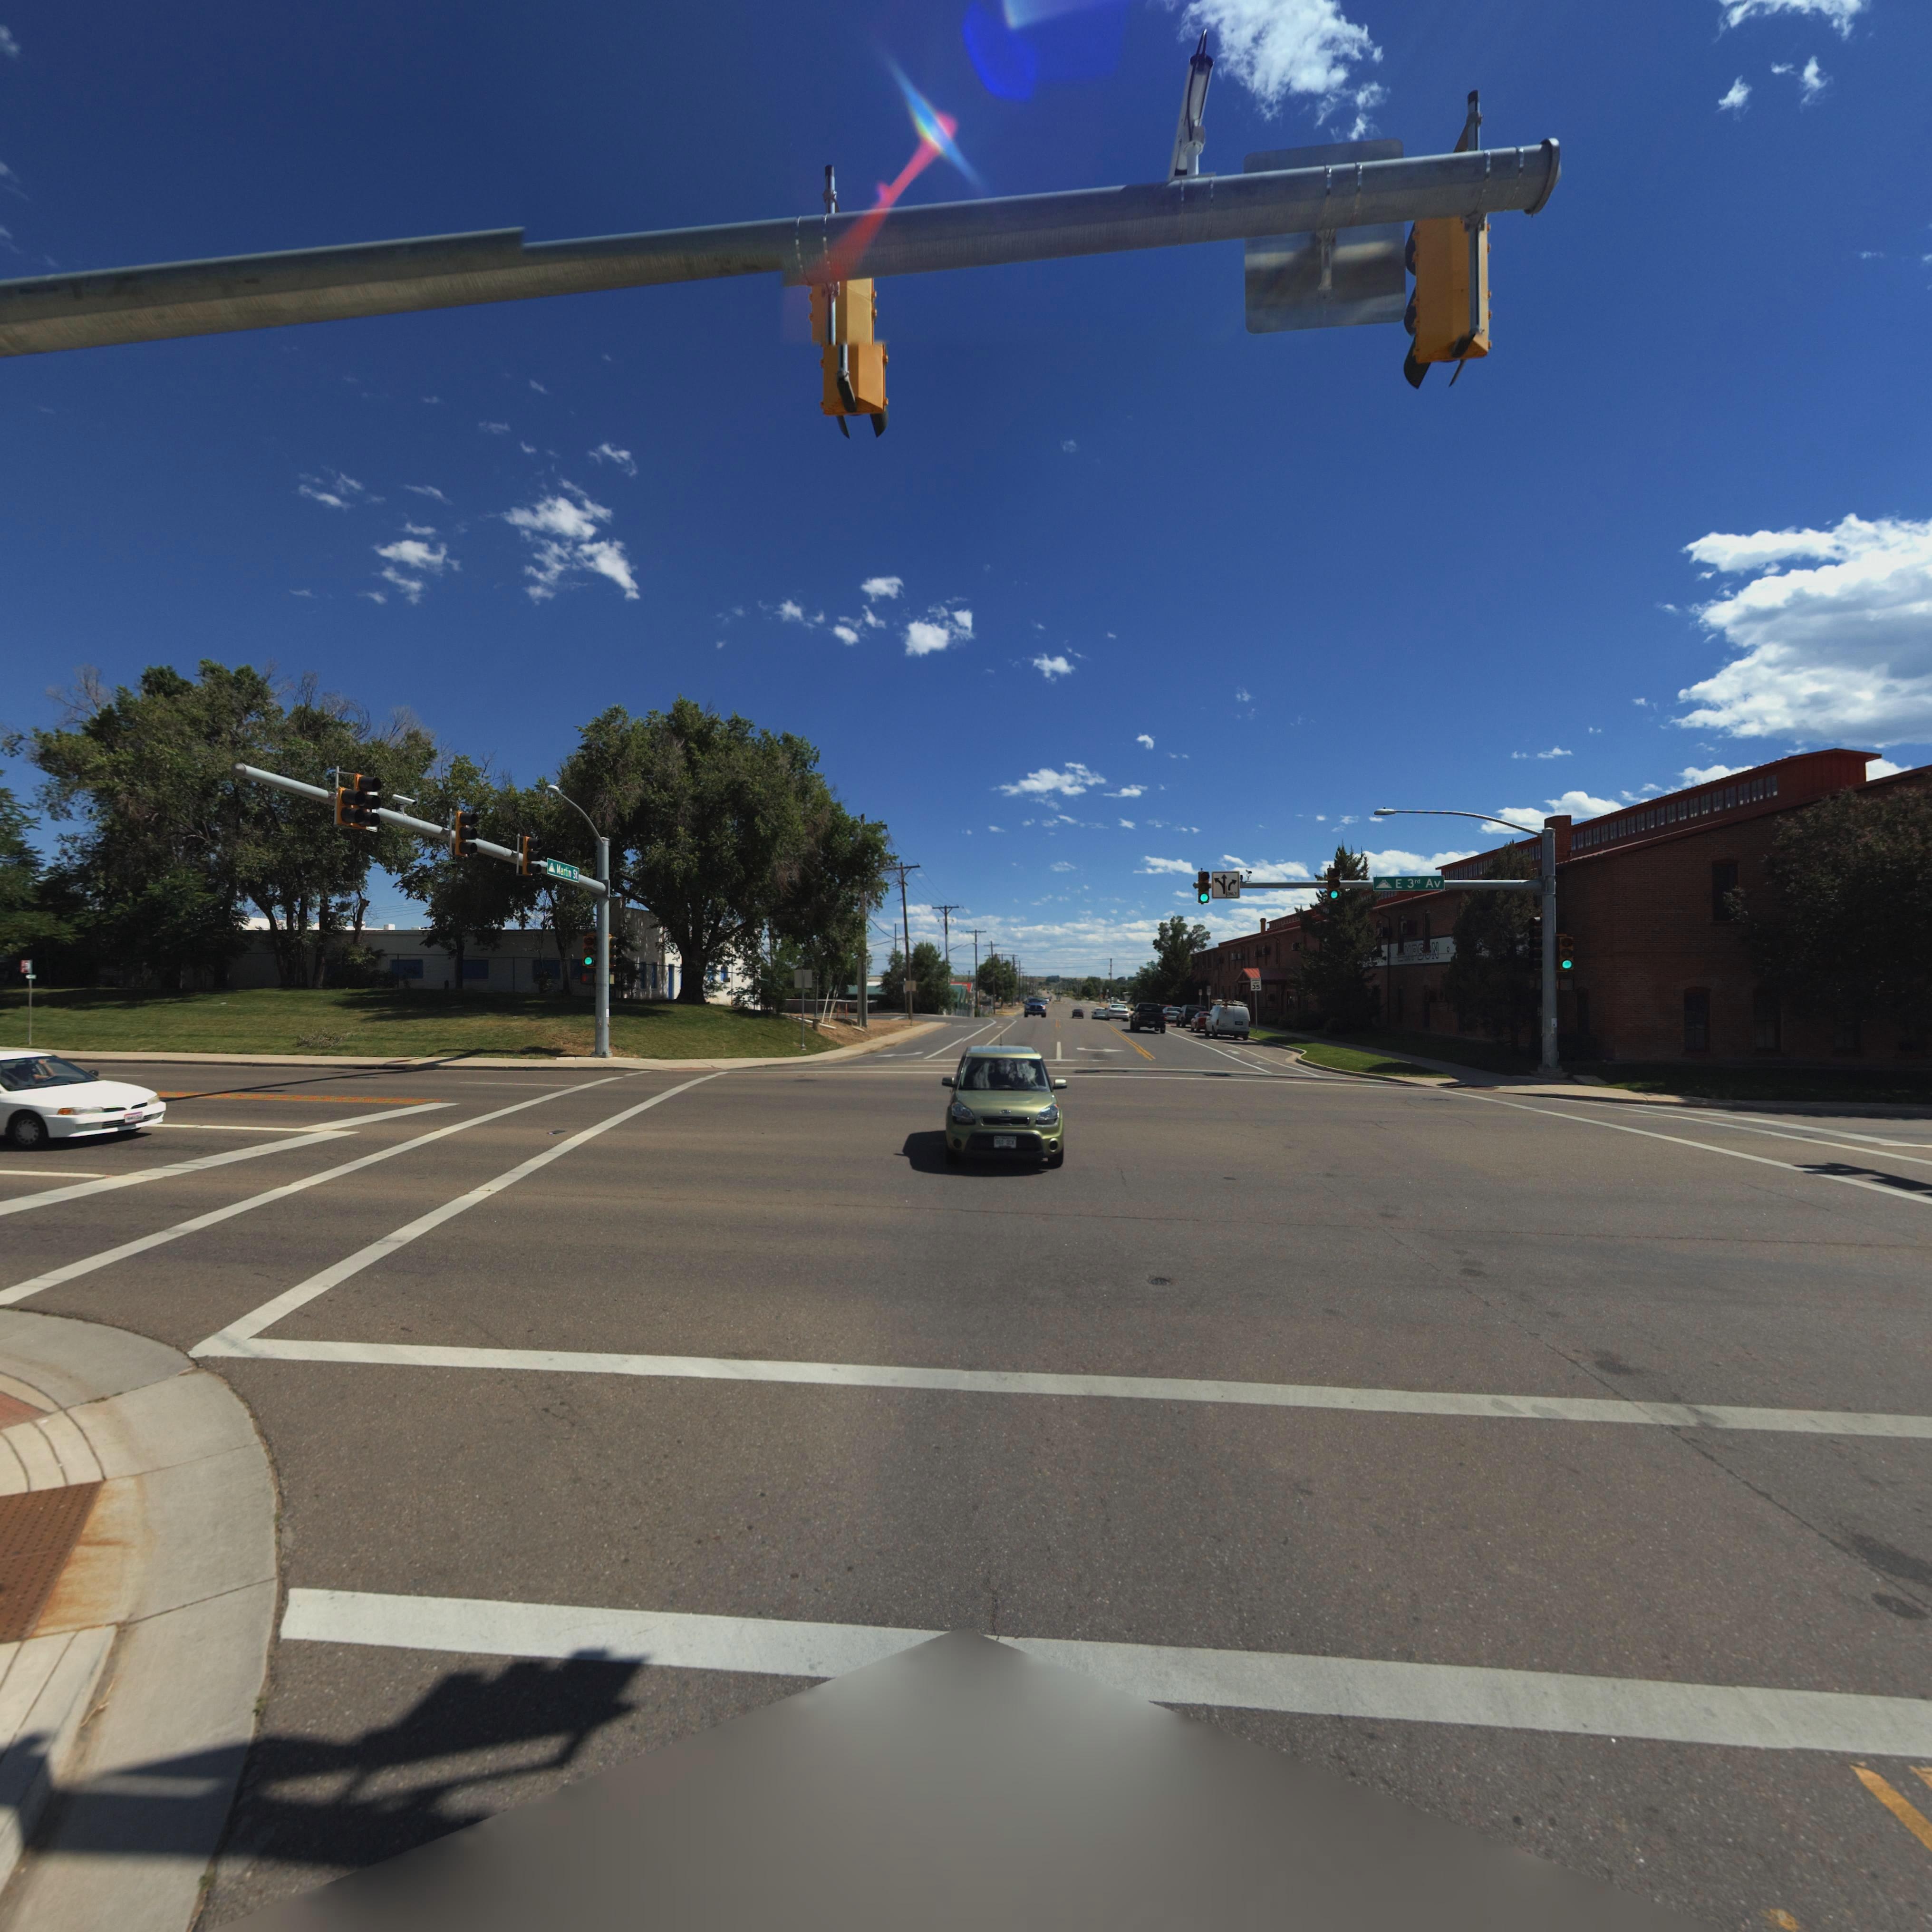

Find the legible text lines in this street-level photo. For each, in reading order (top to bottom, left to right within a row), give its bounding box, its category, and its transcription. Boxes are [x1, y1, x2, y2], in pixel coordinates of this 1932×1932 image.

[556, 863, 578, 880] StreetName: Martin St
[1394, 878, 1441, 889] StreetName: E 3rd Av